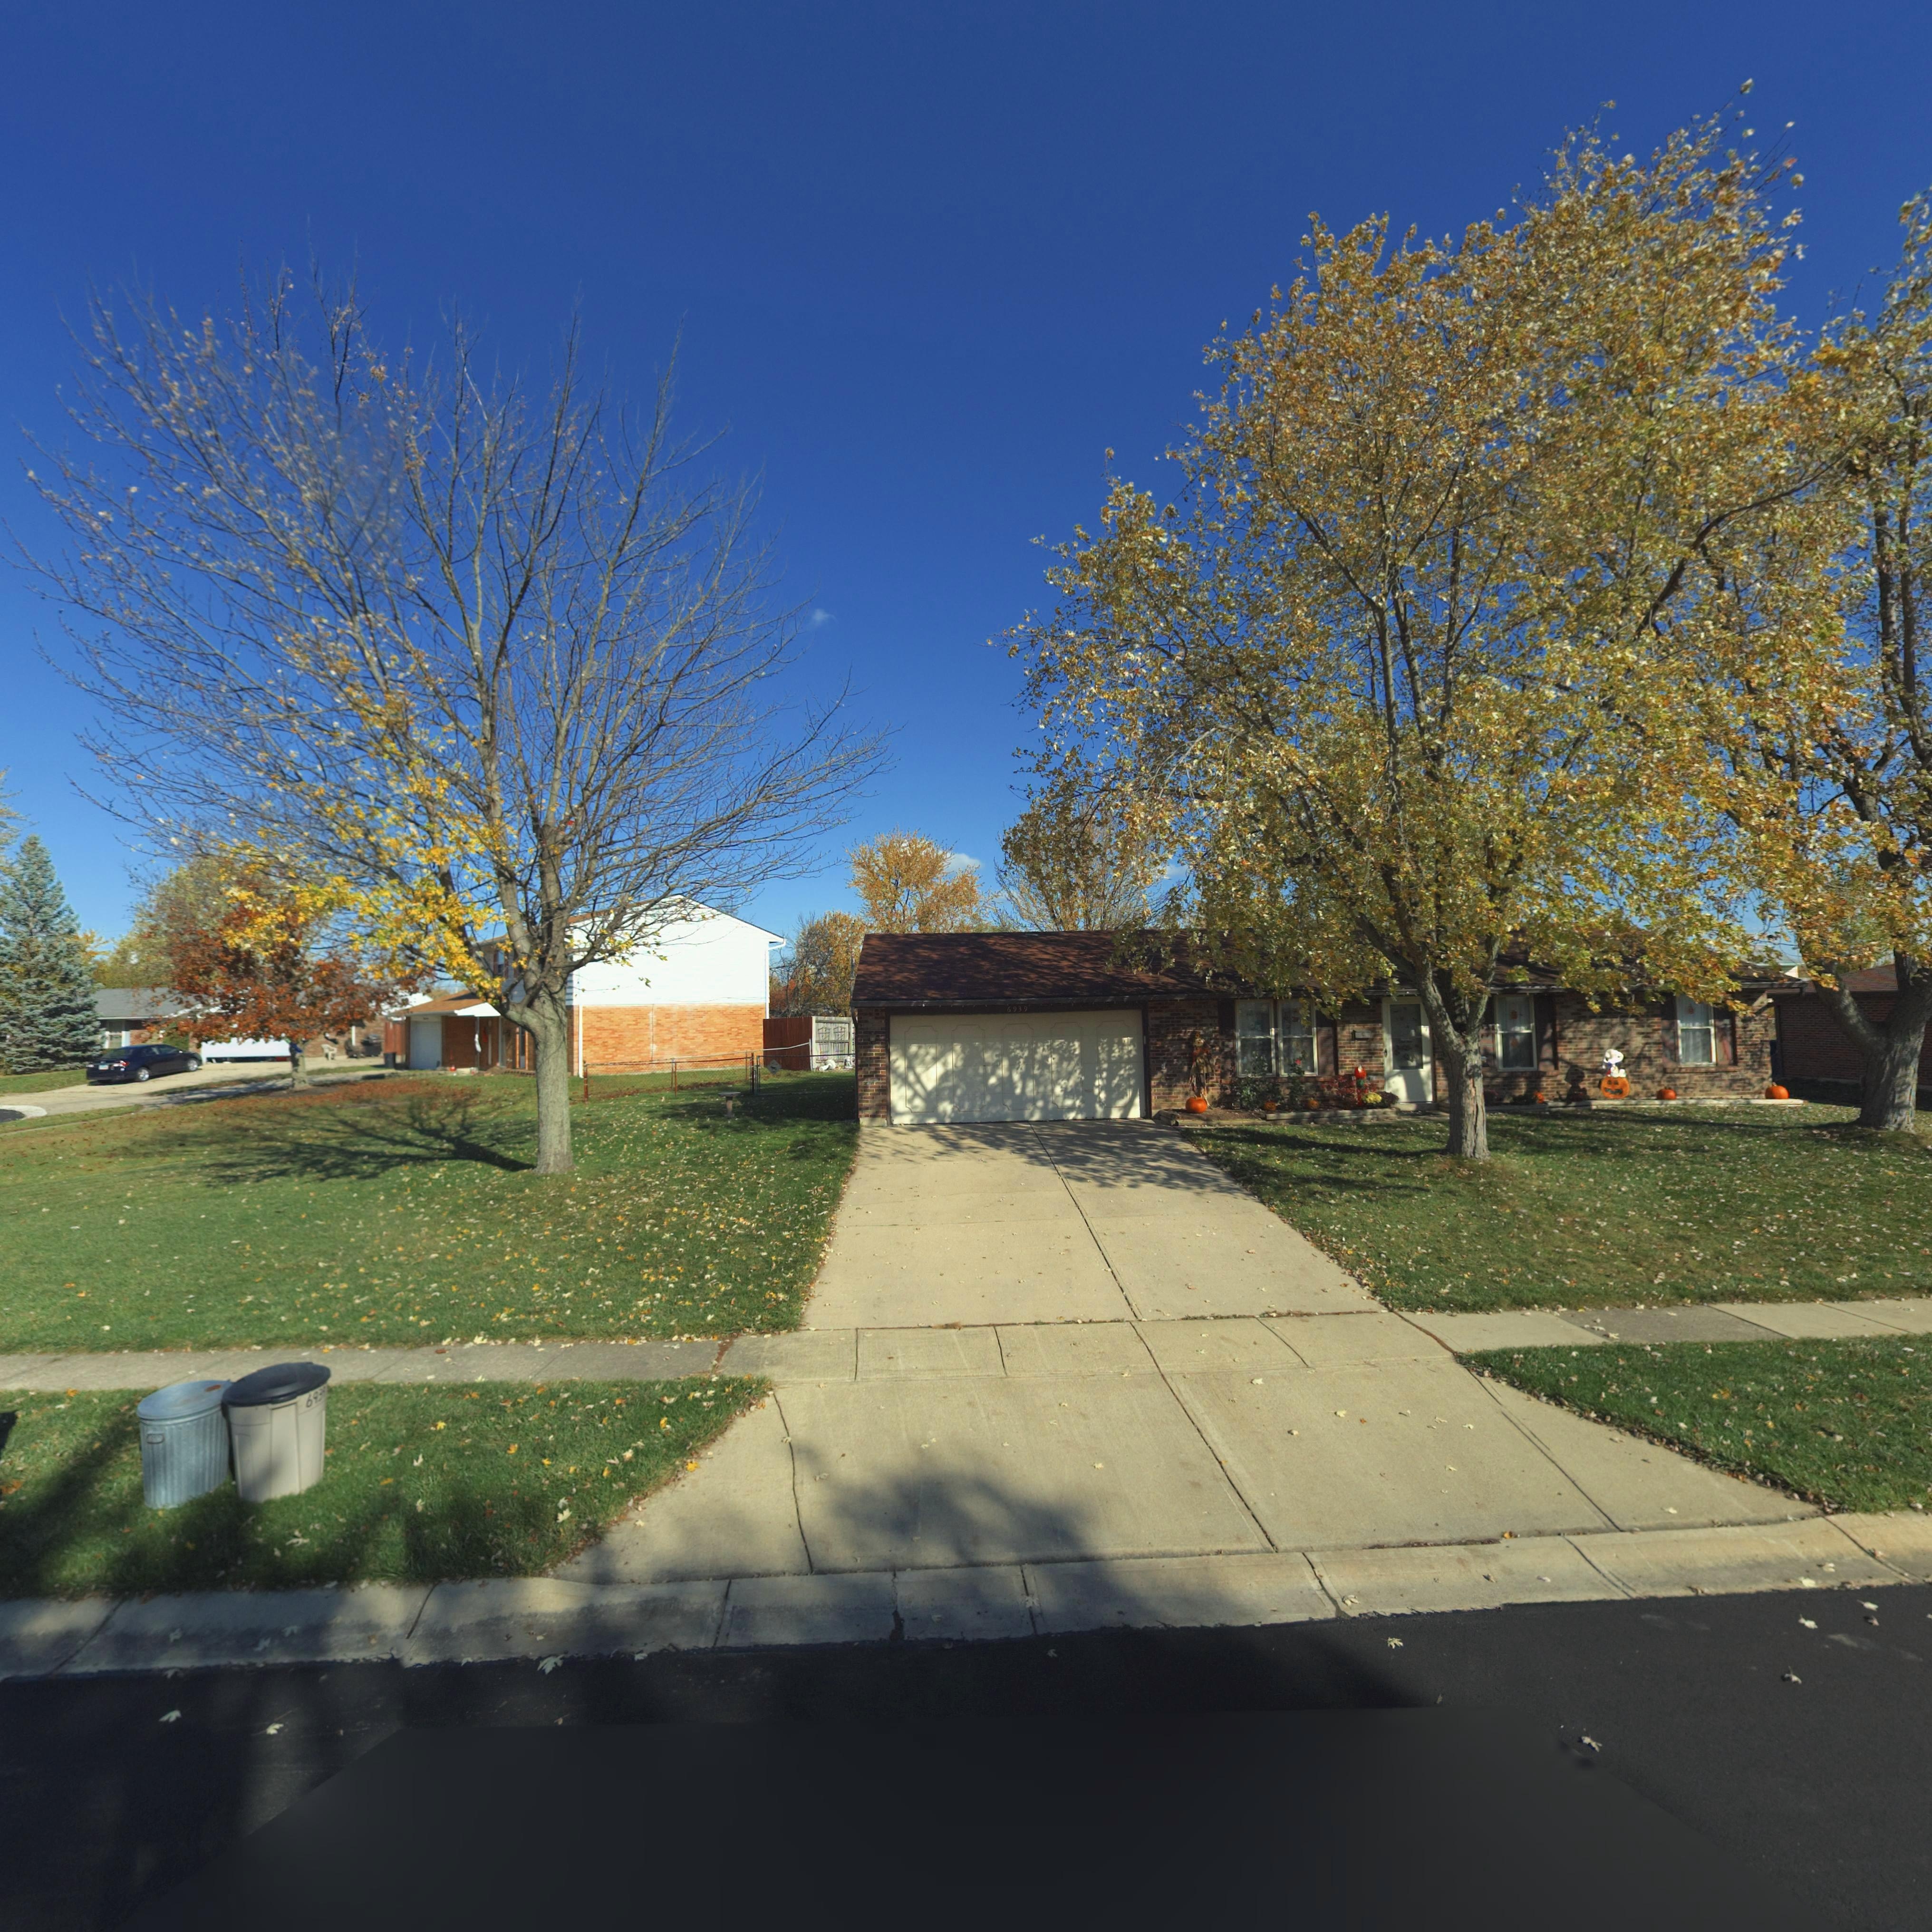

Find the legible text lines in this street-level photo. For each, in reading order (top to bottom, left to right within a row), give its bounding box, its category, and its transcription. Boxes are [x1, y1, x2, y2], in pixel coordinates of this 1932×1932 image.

[1006, 1005, 1028, 1013] StreetNumber: 6939